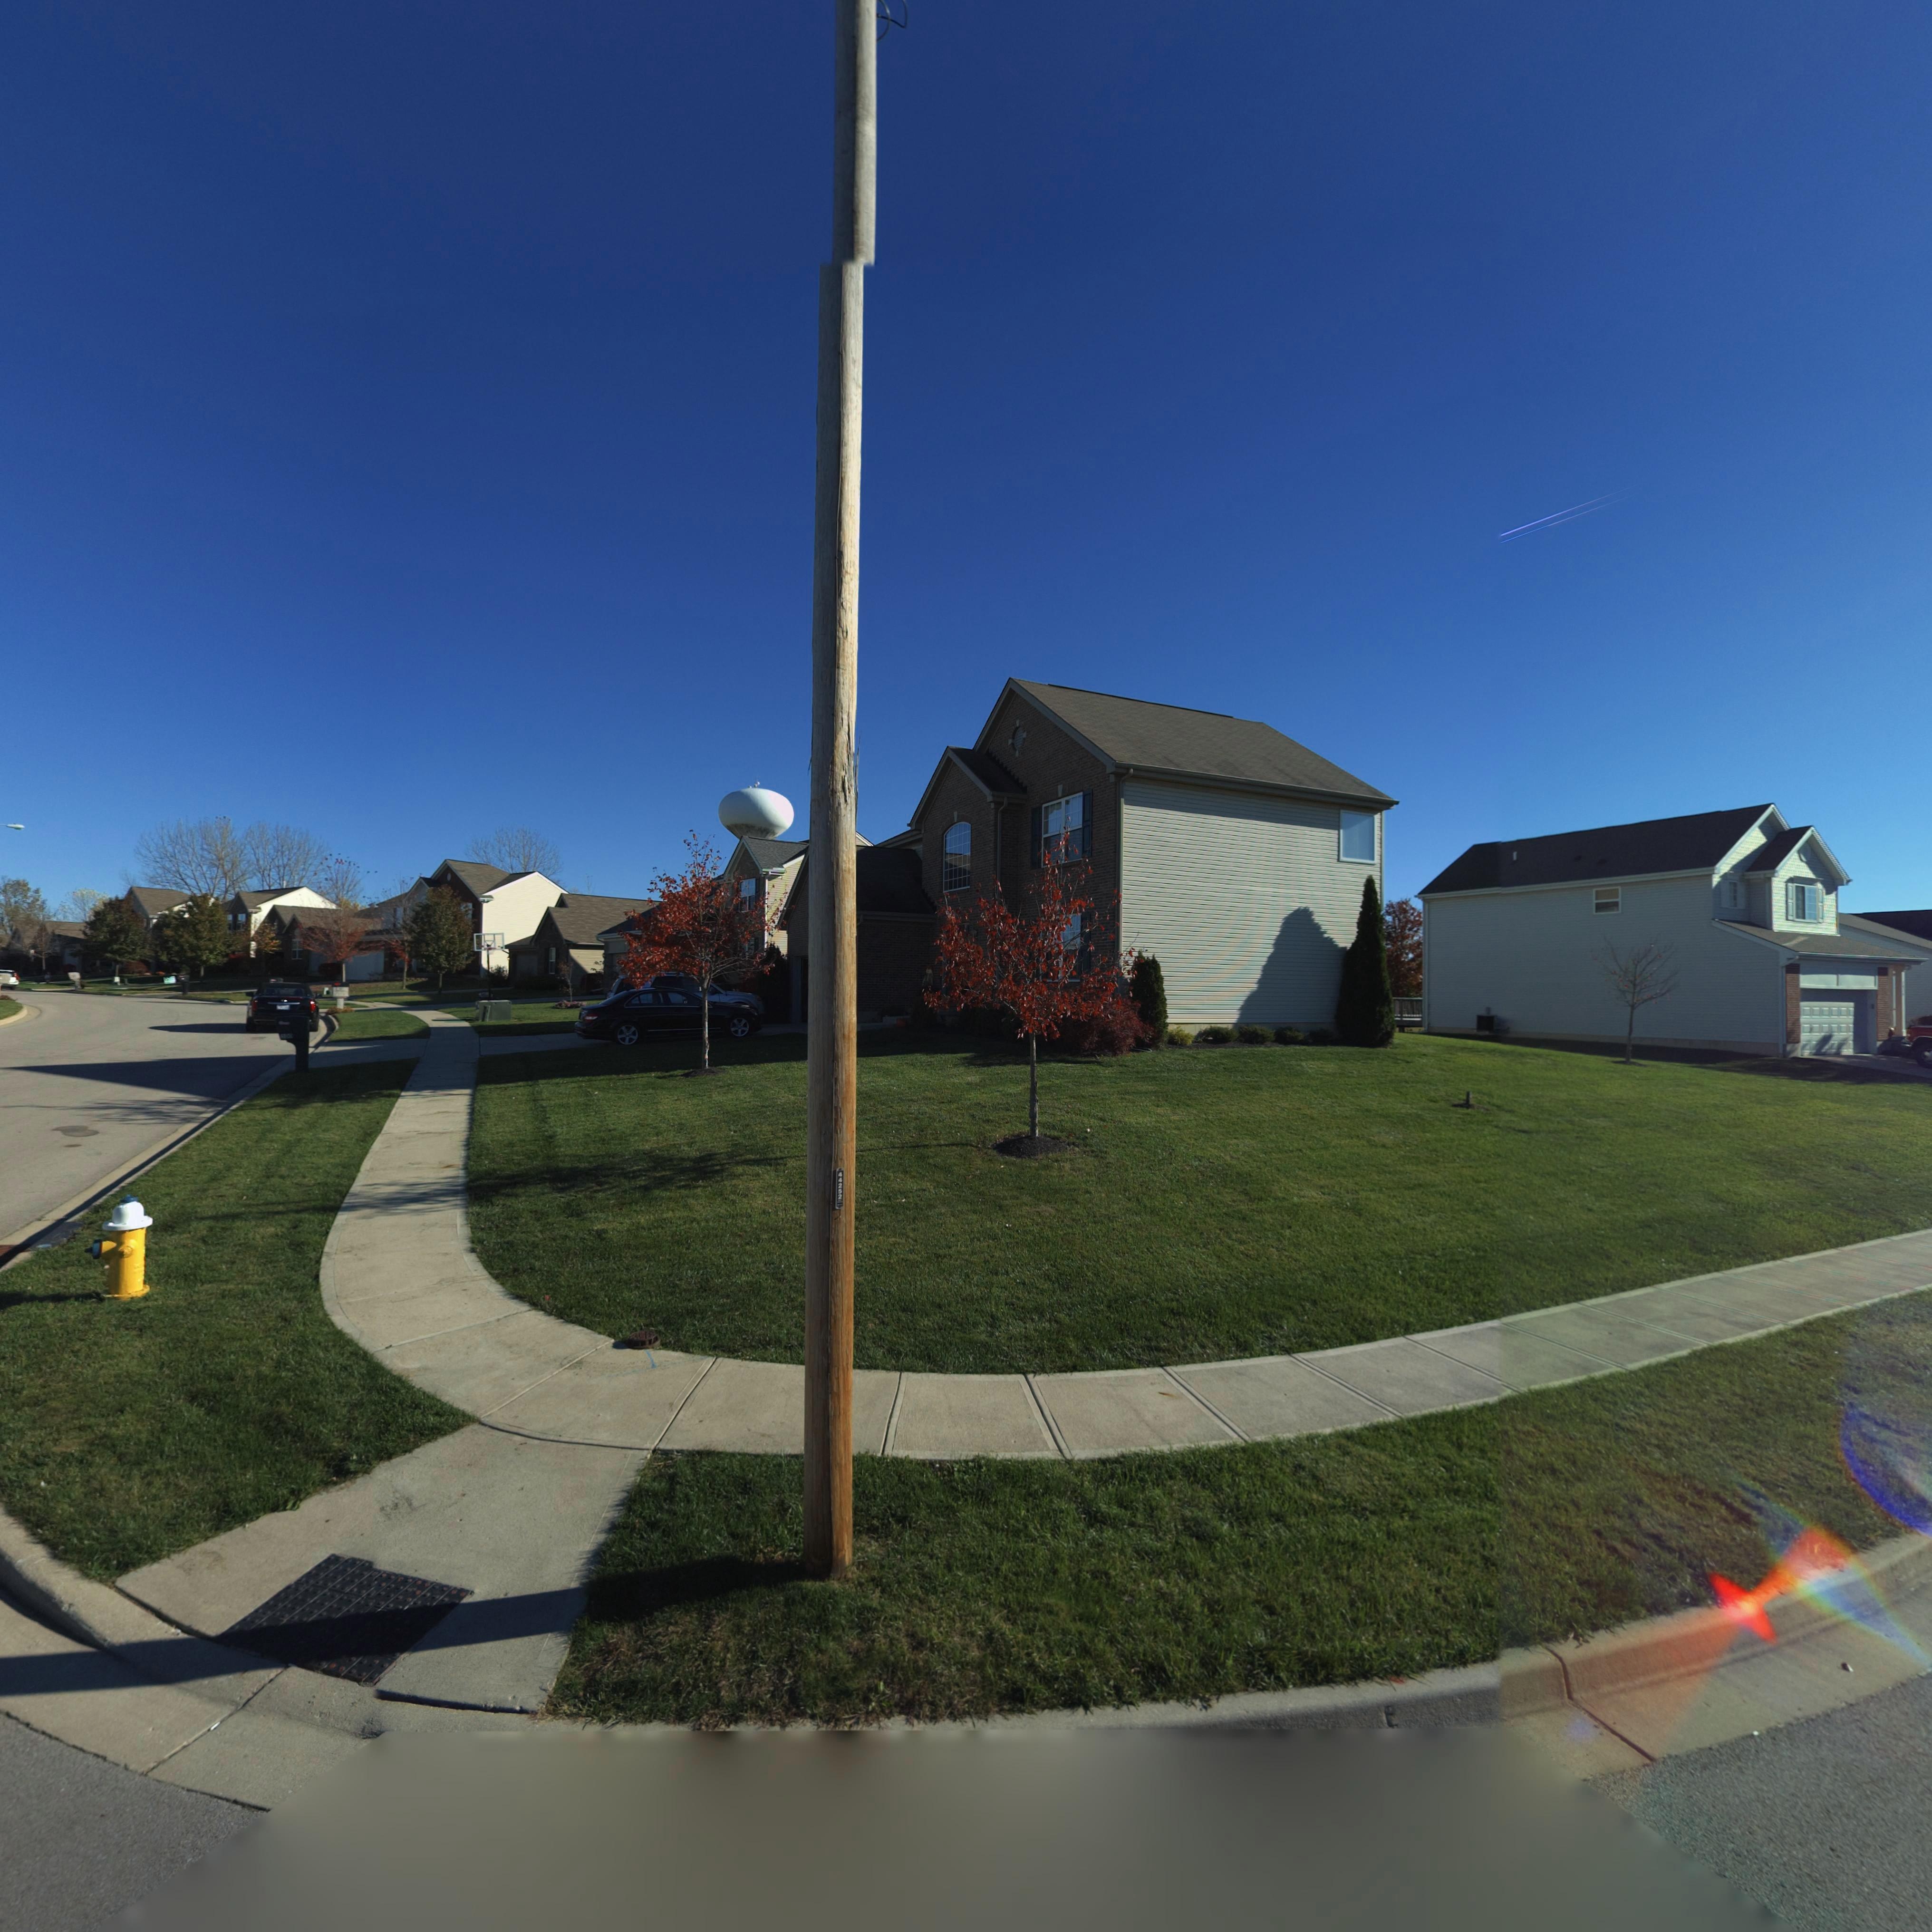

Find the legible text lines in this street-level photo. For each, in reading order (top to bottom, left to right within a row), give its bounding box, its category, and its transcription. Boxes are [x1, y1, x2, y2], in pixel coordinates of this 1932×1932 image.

[280, 1033, 293, 1040] StreetNumber: *00
[837, 1171, 843, 1200] None: 44252